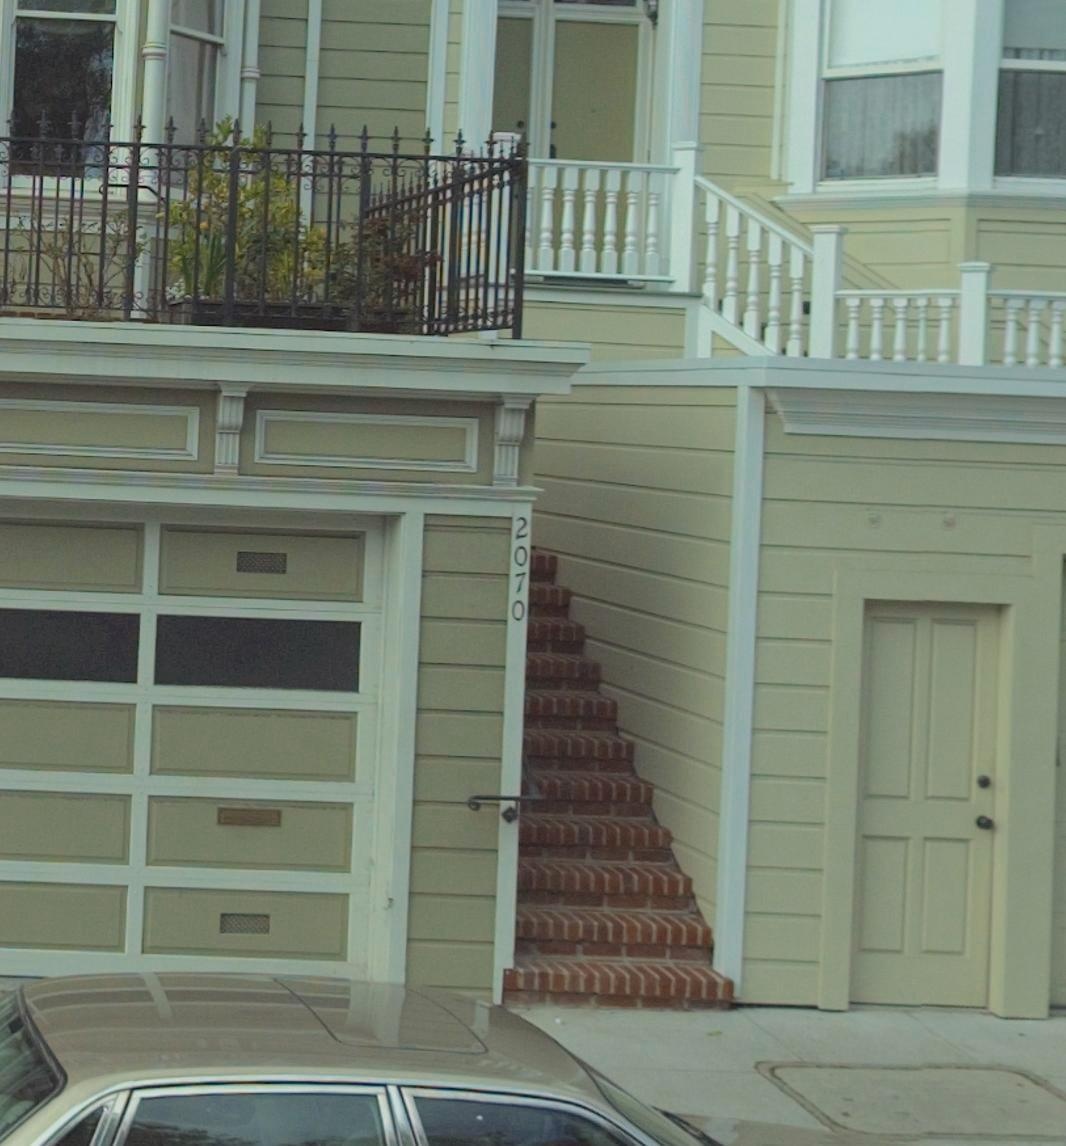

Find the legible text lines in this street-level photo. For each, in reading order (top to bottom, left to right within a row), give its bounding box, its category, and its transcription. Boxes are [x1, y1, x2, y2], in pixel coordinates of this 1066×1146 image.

[507, 514, 532, 625] StreetNumber: 2070